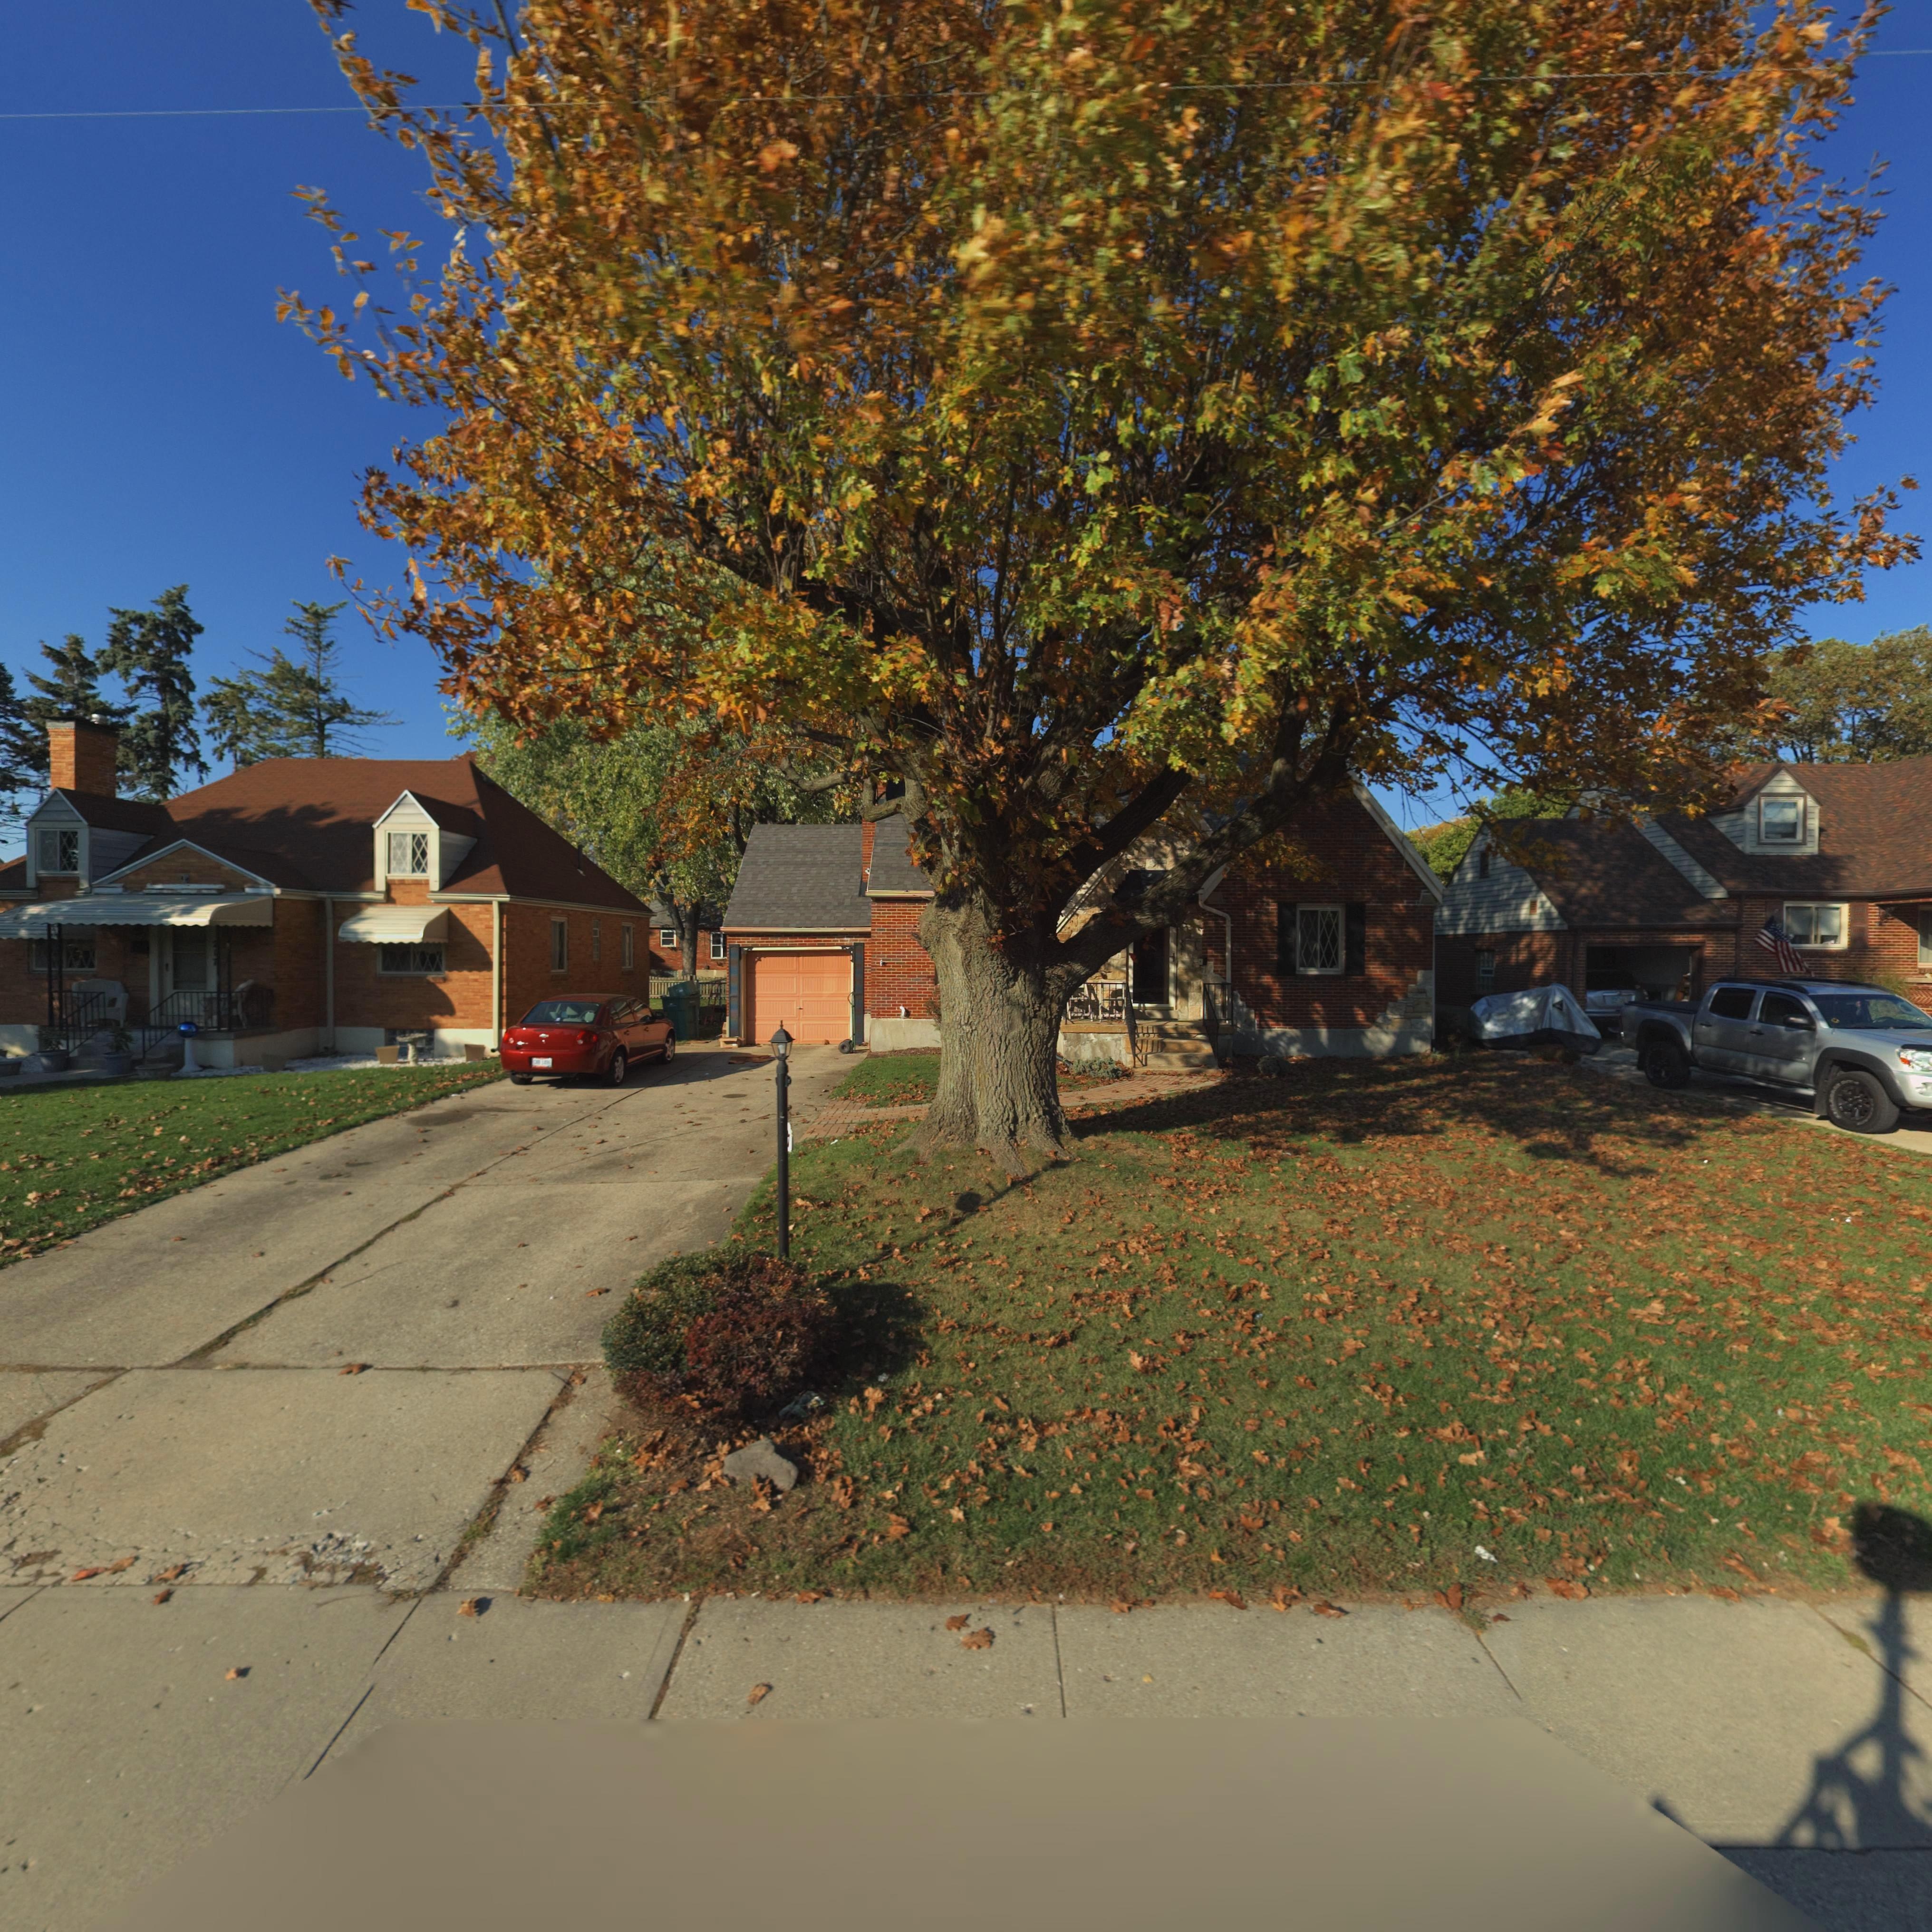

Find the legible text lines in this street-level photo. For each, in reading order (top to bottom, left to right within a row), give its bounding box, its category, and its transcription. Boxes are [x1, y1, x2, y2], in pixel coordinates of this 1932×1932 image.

[1179, 938, 1185, 956] StreetNumber: 2*1
[211, 957, 220, 968] StreetNumber: 7